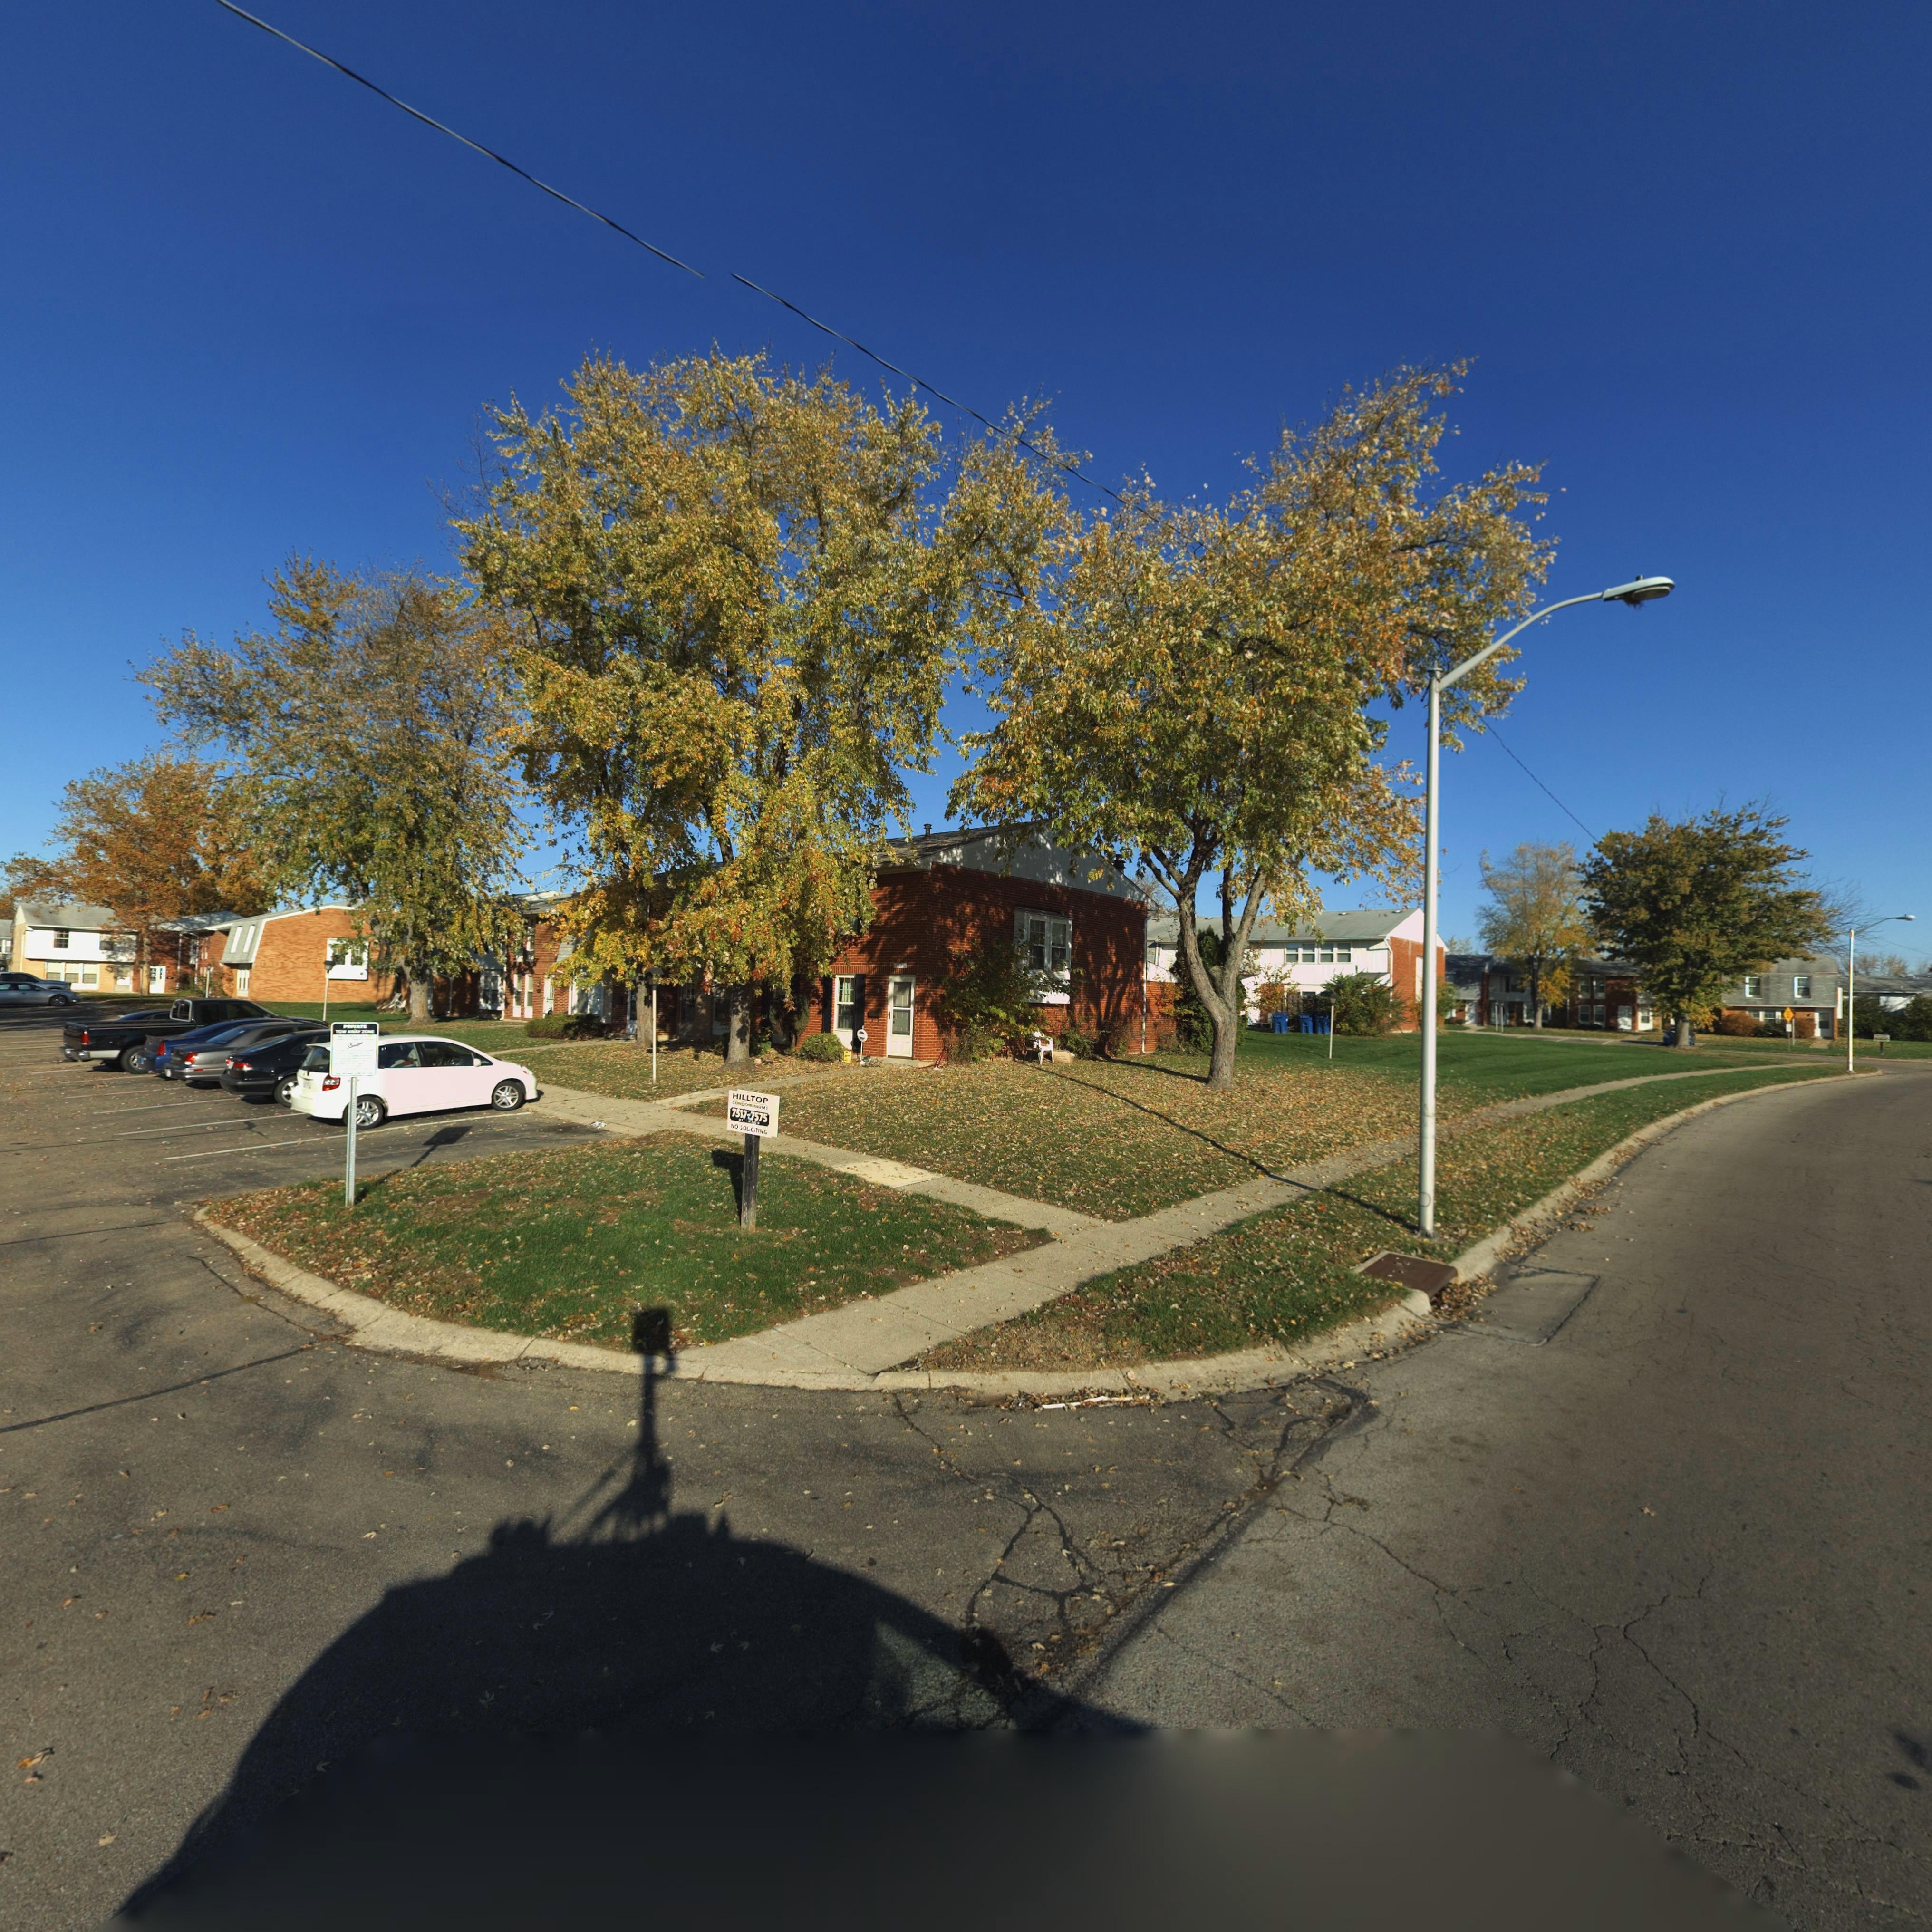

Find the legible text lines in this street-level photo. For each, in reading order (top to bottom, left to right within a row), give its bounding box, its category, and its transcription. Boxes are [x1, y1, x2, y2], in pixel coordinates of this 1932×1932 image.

[895, 963, 906, 968] StreetNumber: 7575
[588, 1120, 609, 1130] StreetNumber: 7575